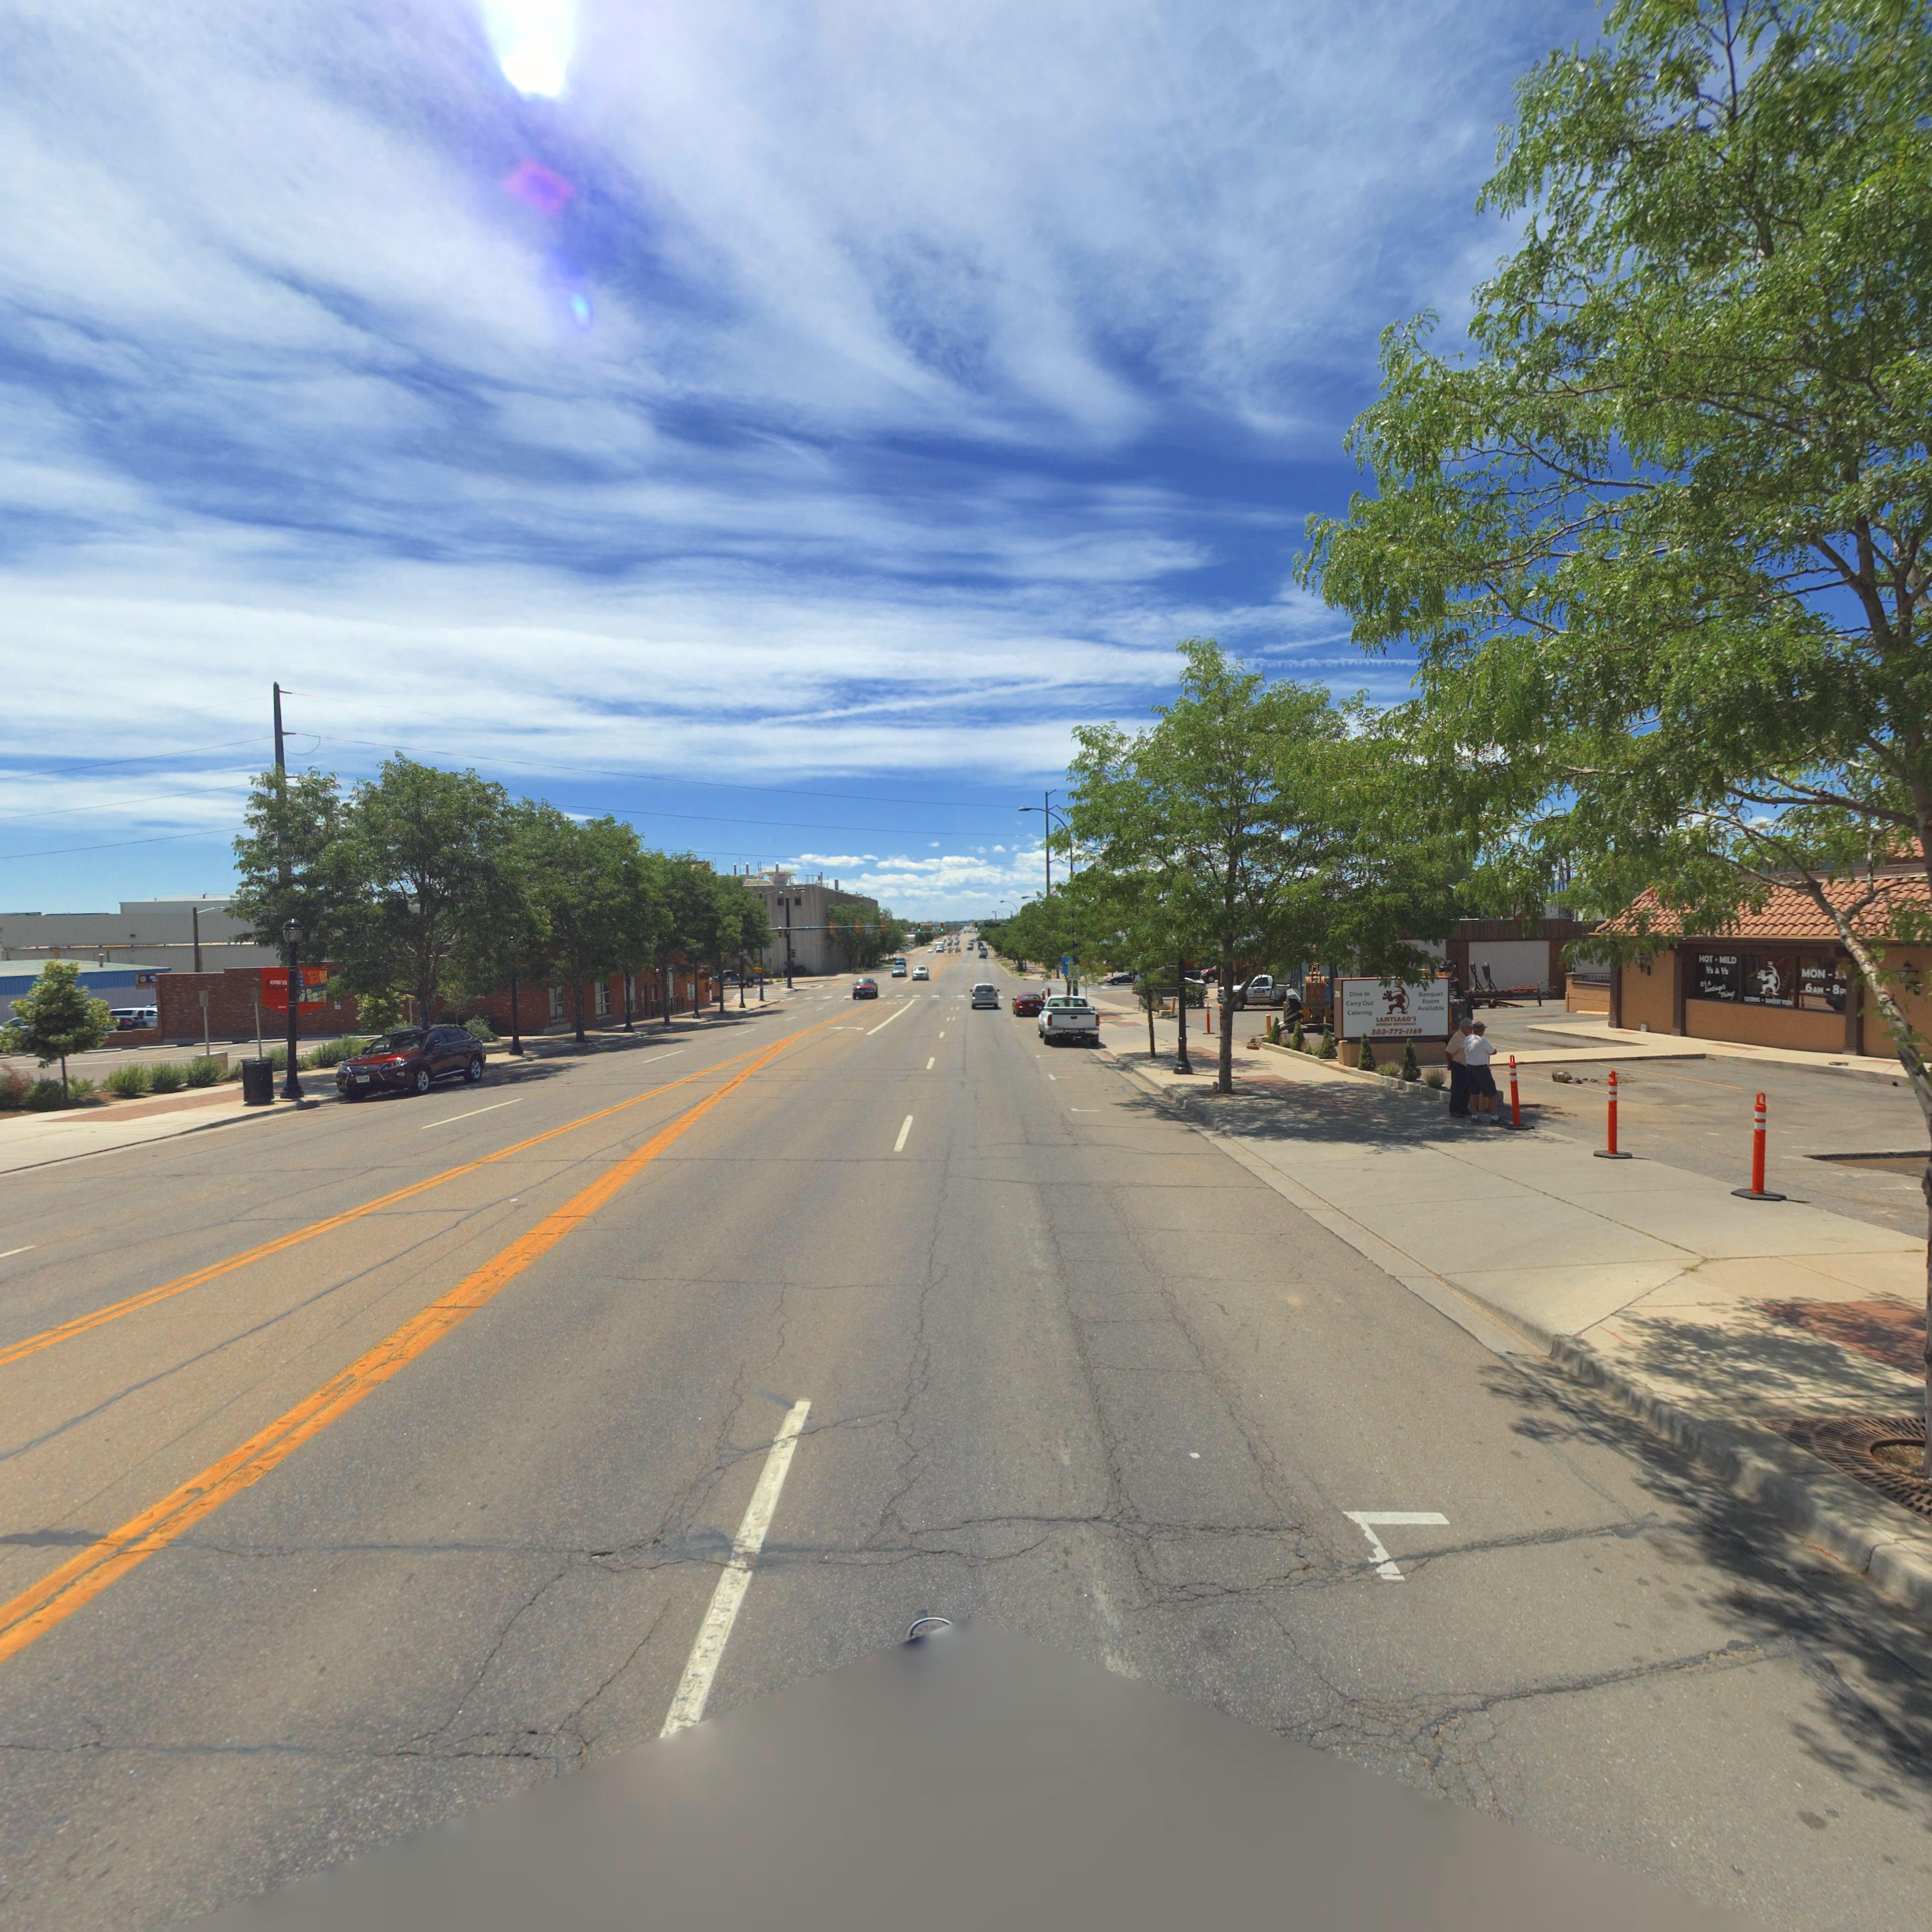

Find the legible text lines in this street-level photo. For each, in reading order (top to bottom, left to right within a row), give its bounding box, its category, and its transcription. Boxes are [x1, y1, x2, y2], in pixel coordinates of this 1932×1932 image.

[1703, 983, 1726, 993] BusinessName: Santiago's
[1334, 990, 1341, 998] StreetNumber: 2*5
[1375, 1015, 1417, 1022] BusinessName: SANTIAGO'S